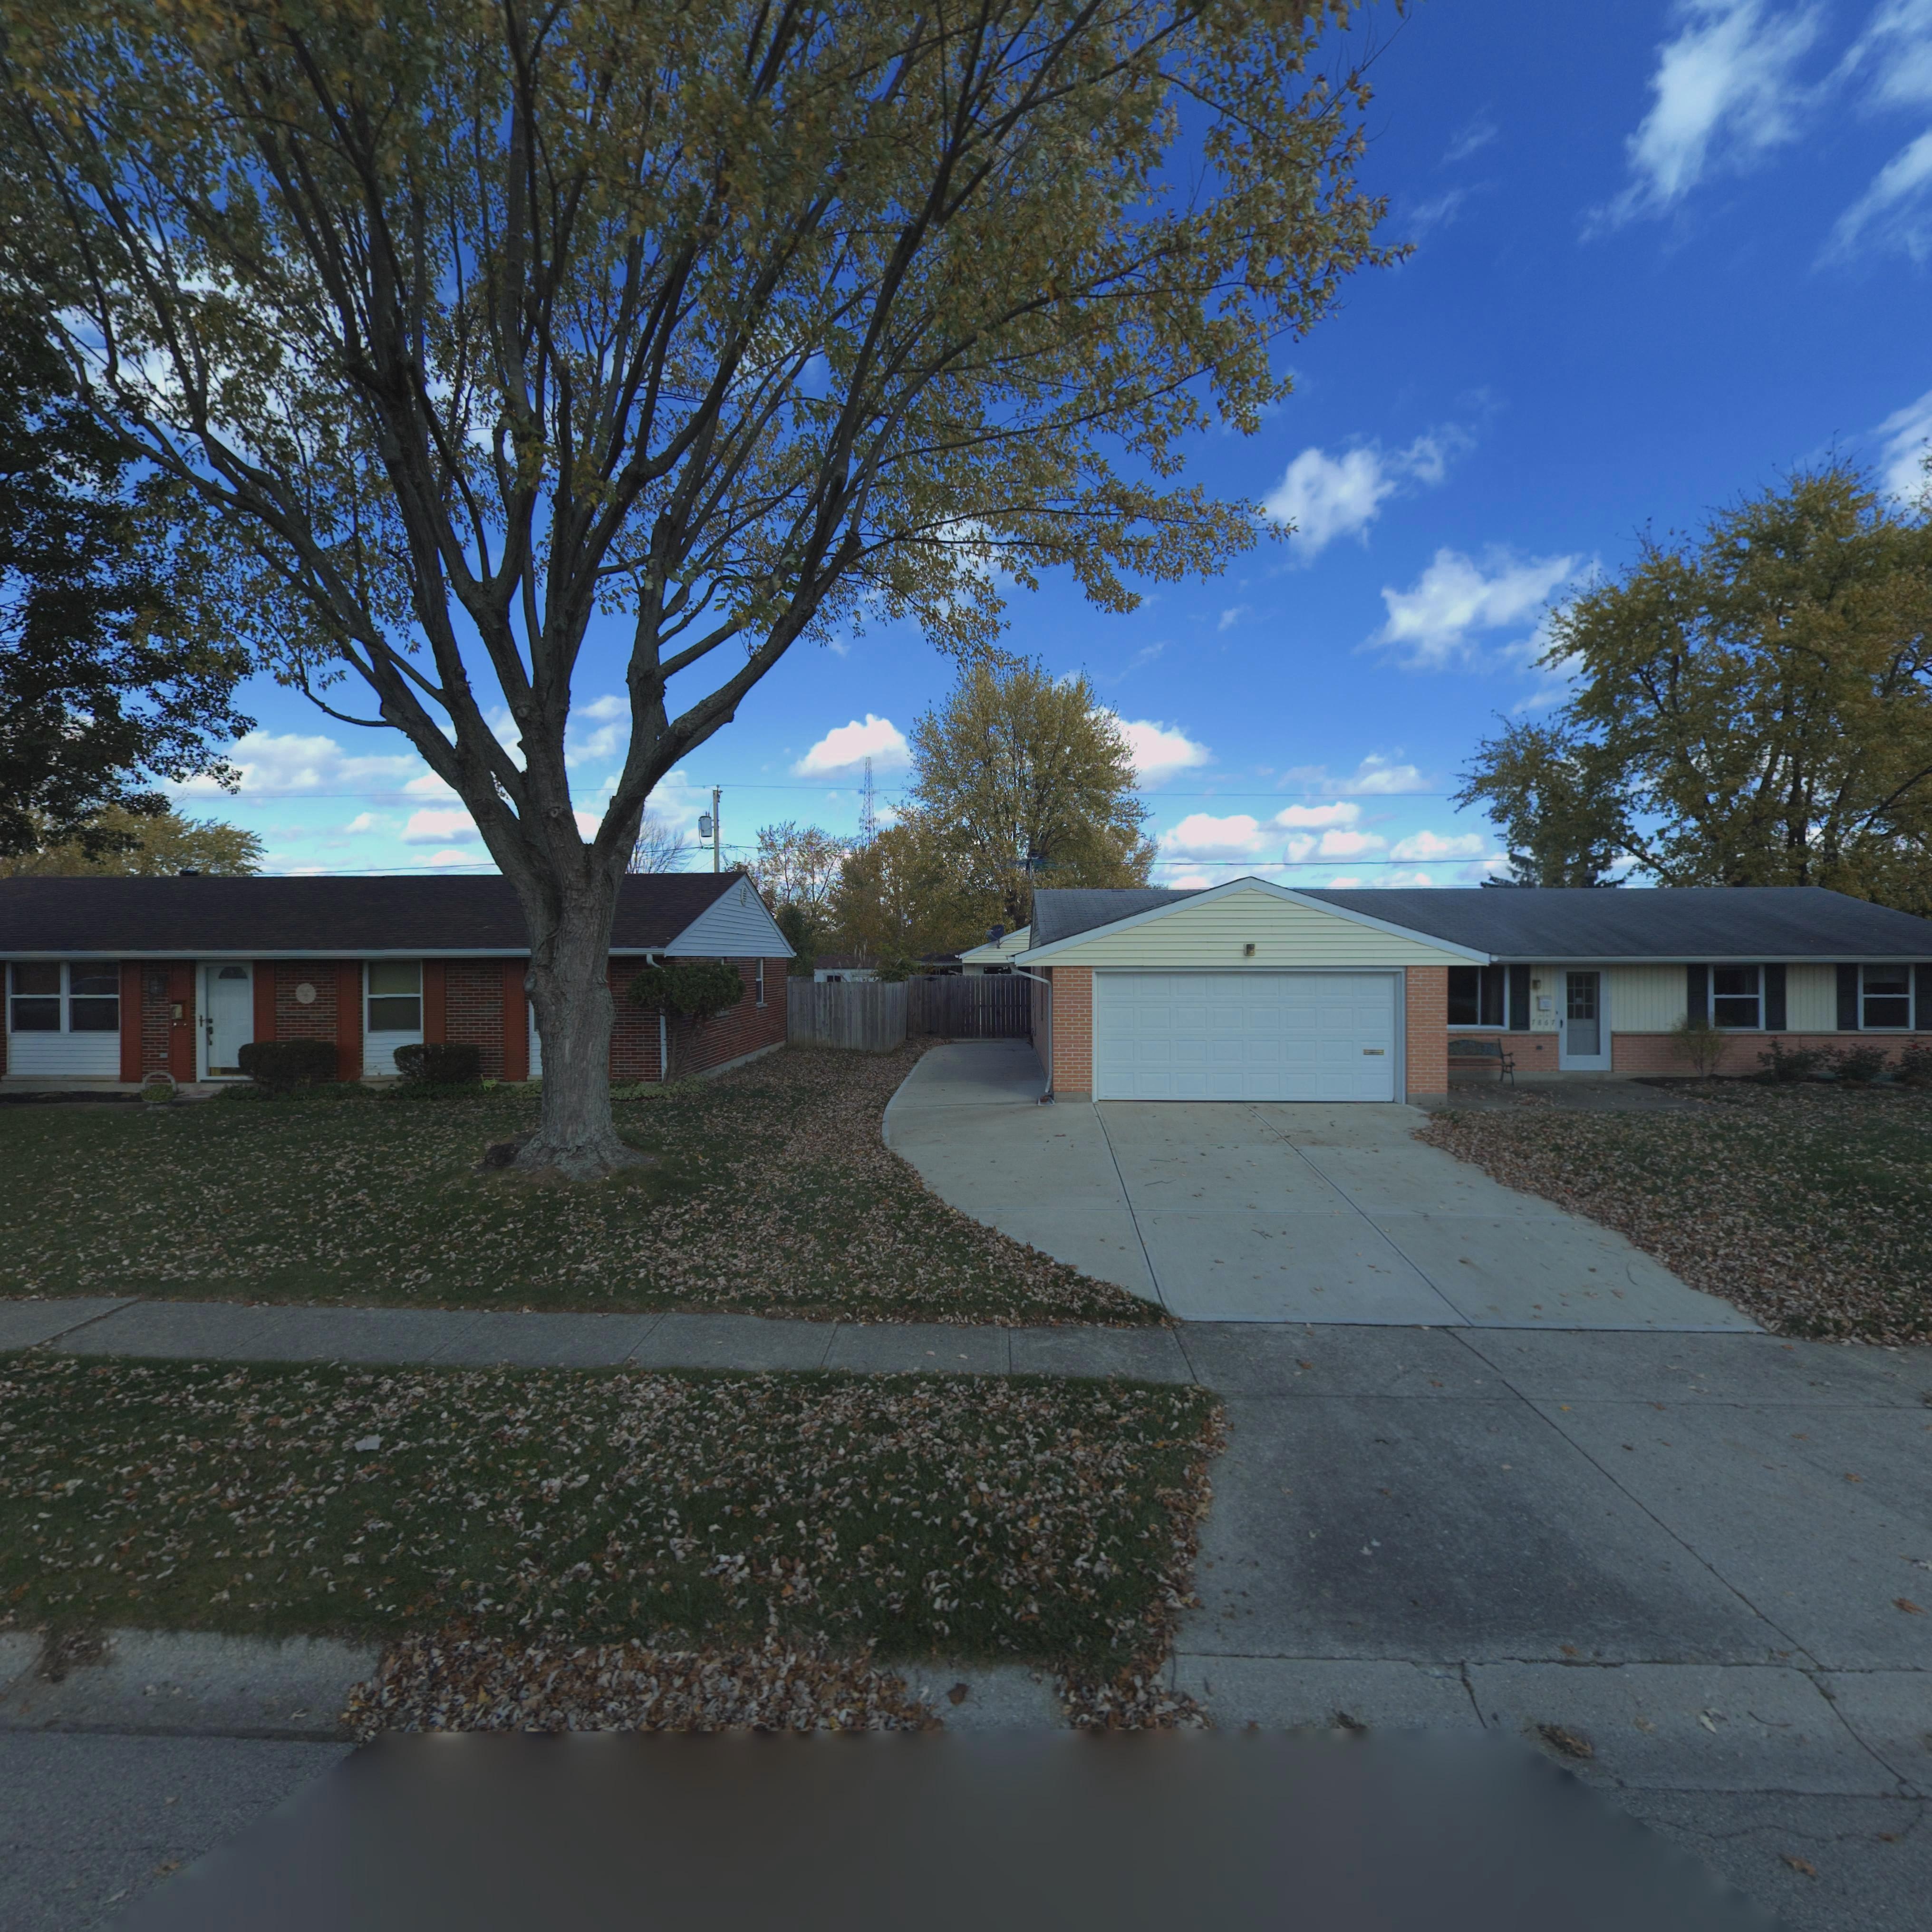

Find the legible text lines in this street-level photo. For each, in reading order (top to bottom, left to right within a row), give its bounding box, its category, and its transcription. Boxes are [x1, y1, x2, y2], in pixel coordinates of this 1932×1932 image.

[1530, 1019, 1556, 1026] StreetNumber: 7867